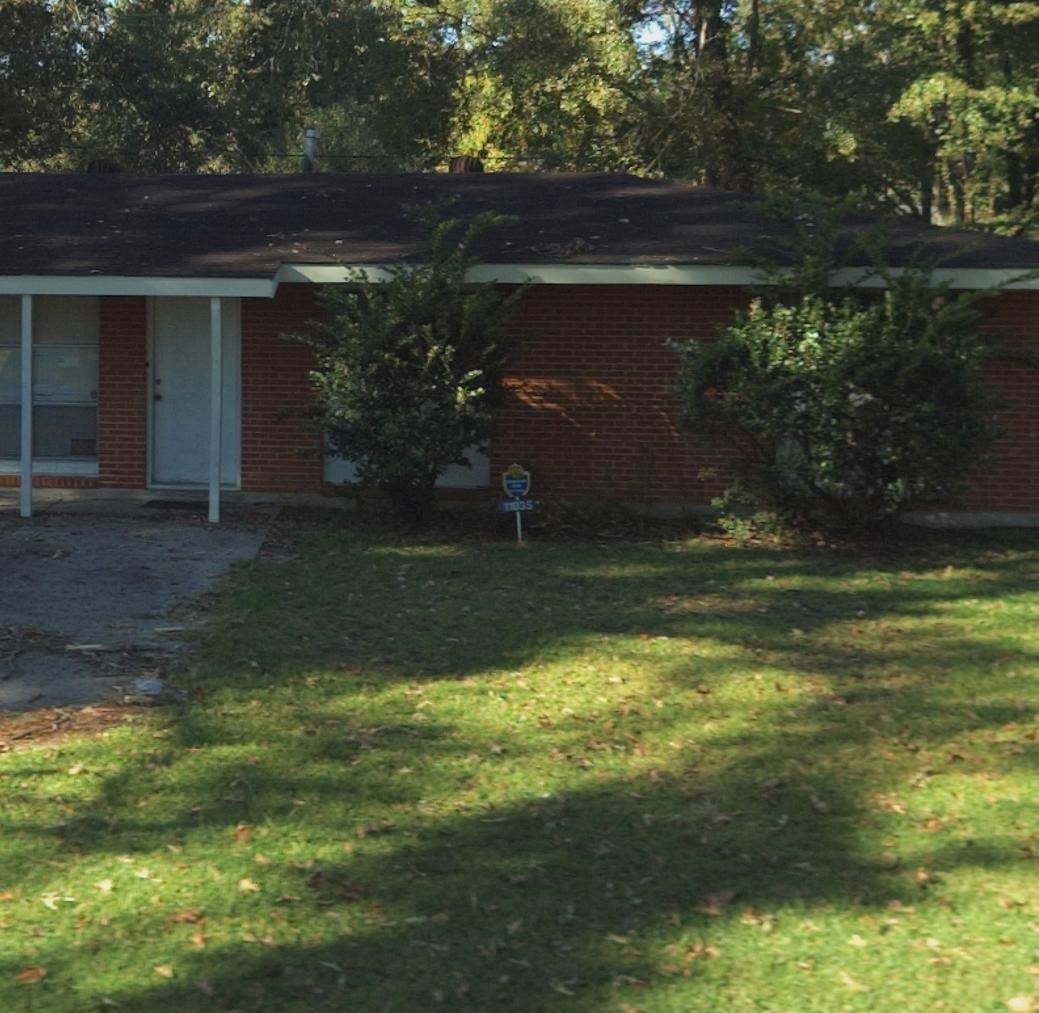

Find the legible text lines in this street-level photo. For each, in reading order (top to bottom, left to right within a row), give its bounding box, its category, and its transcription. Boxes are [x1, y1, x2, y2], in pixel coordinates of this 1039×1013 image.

[502, 499, 534, 512] StreetNumber: 11035